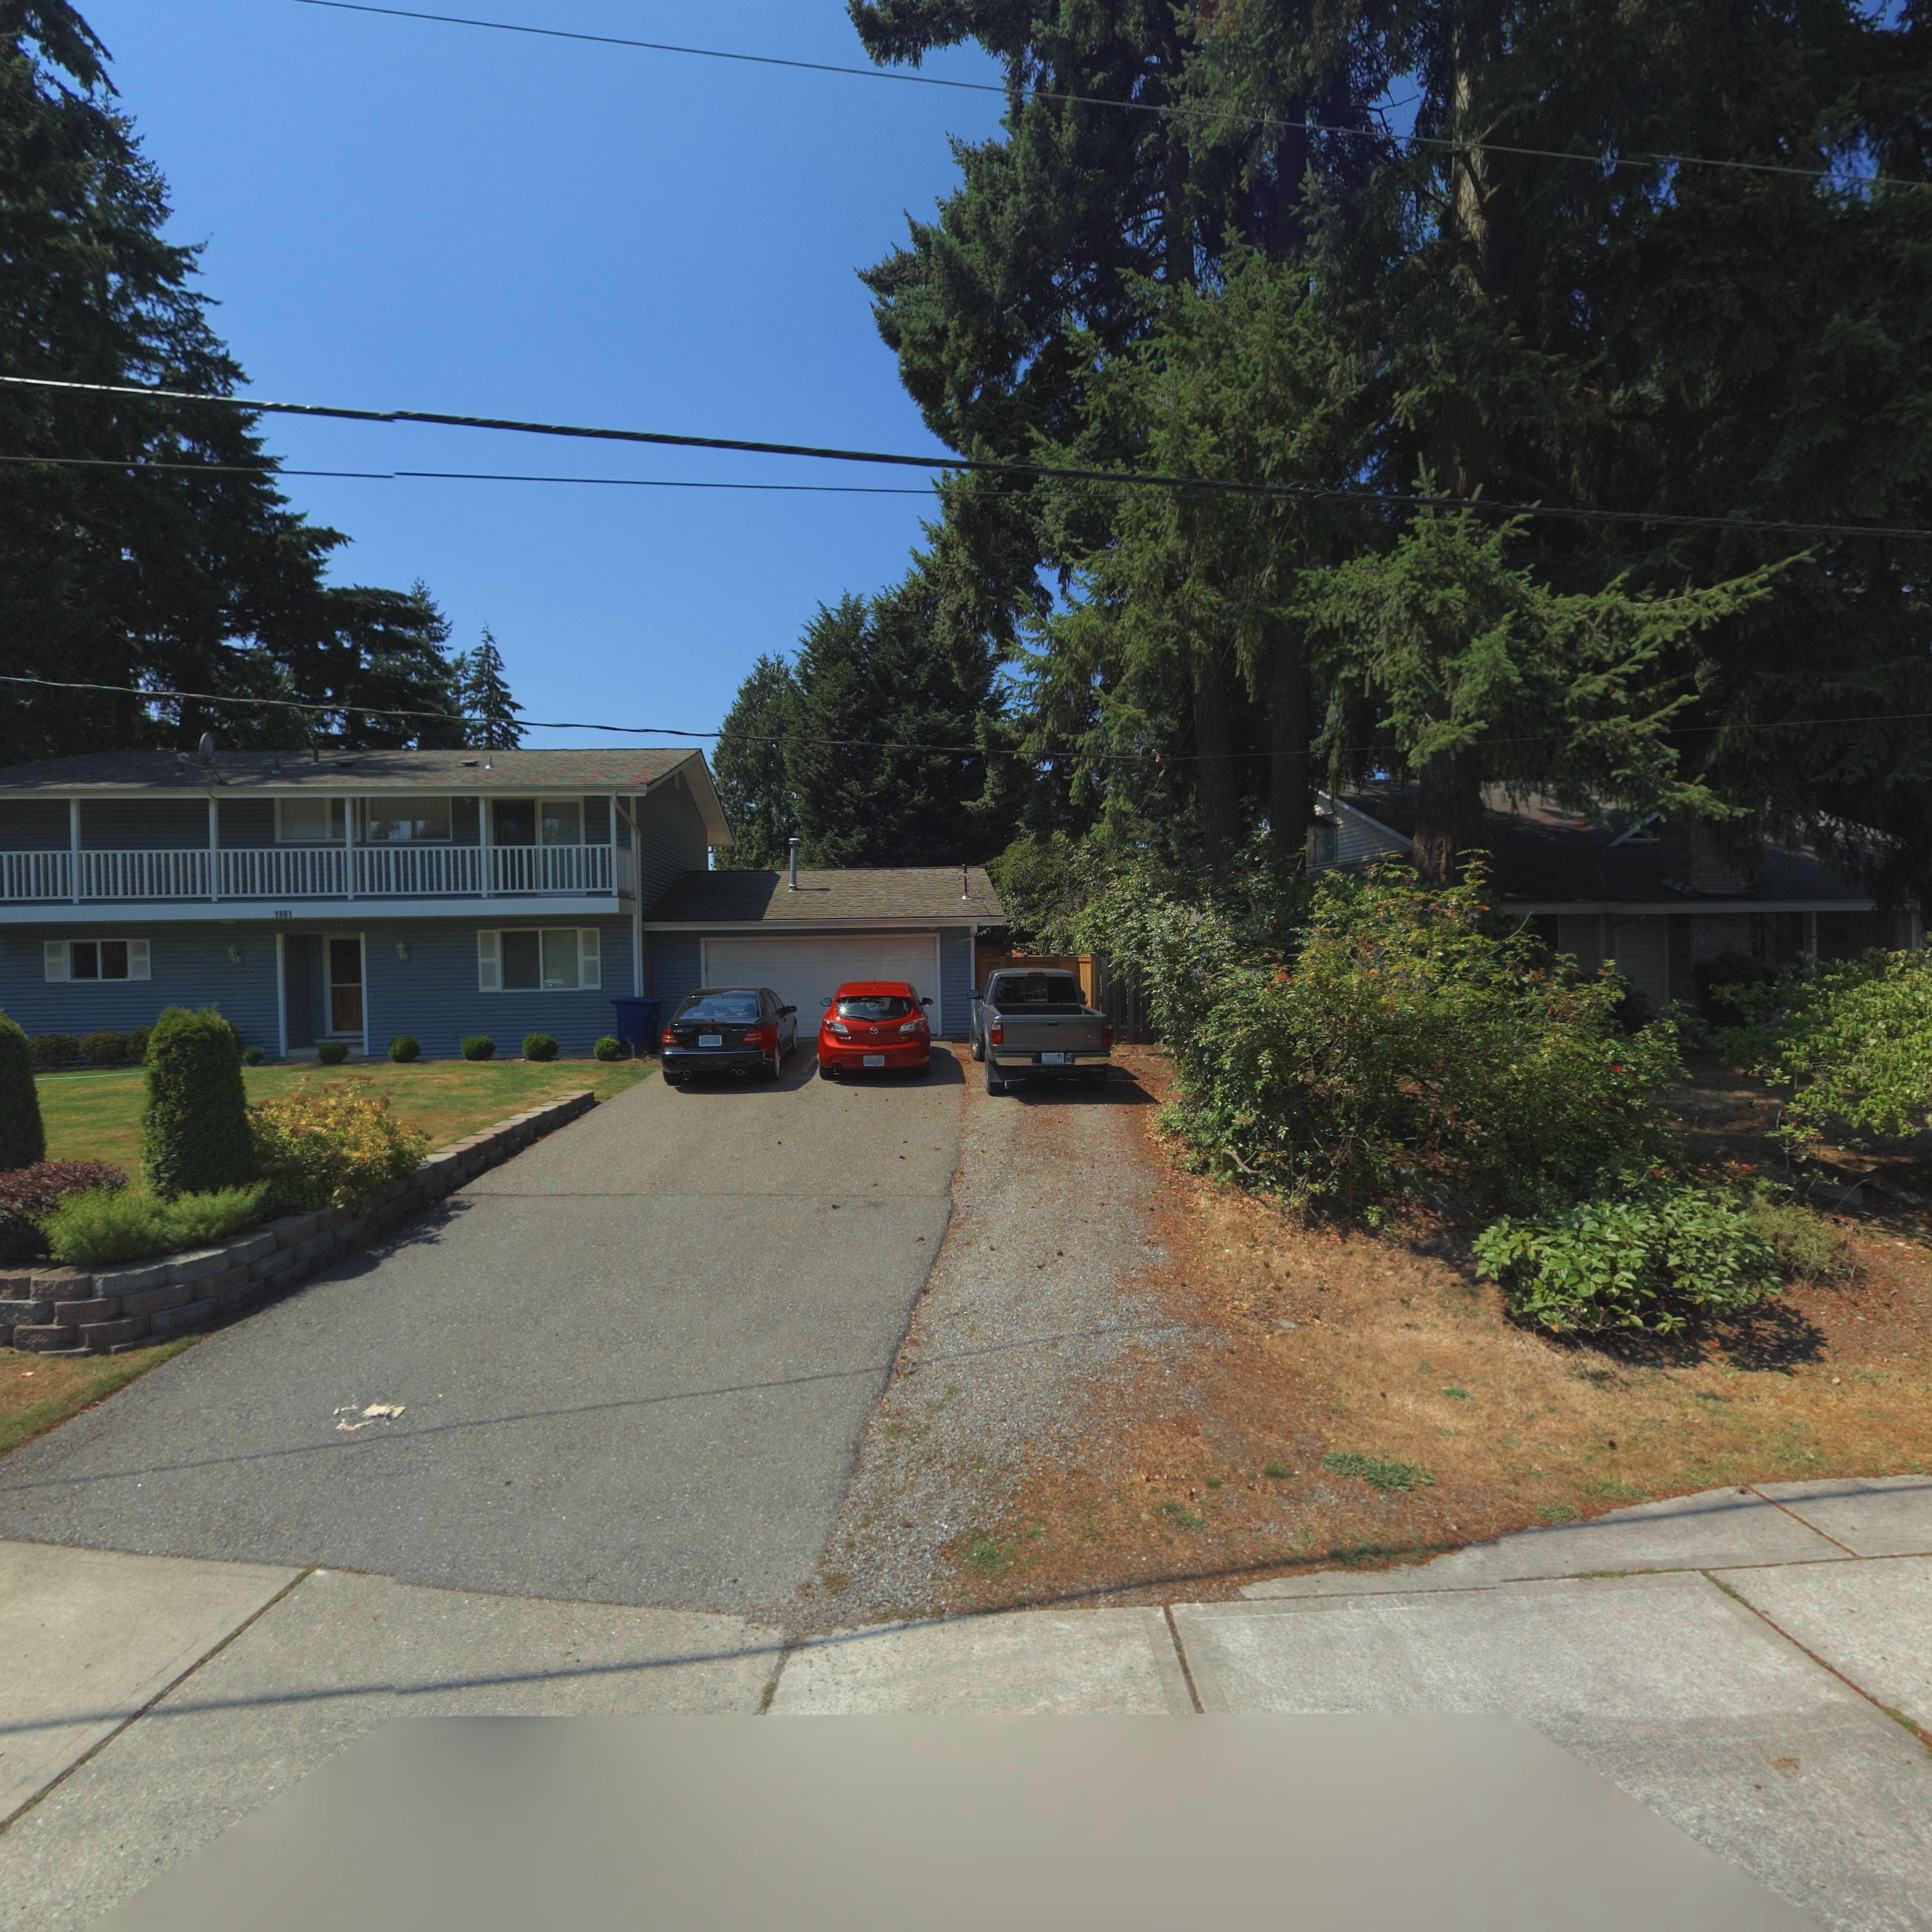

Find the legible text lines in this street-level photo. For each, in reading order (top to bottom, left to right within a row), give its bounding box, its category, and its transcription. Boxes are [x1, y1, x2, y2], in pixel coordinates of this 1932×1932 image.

[274, 910, 292, 918] StreetNumber: 1801